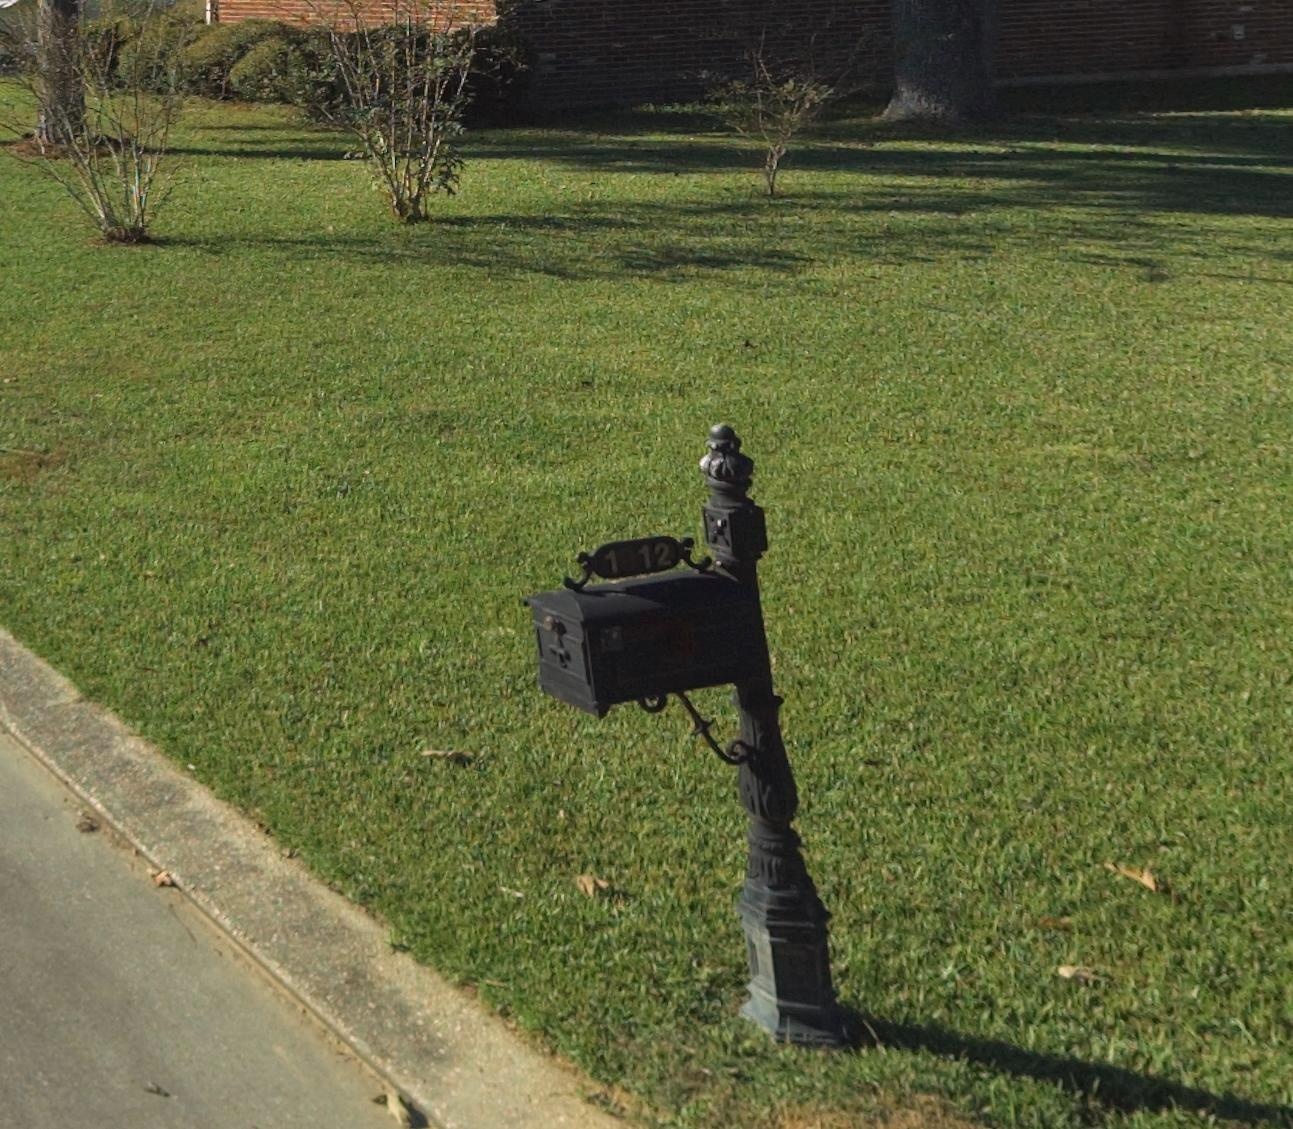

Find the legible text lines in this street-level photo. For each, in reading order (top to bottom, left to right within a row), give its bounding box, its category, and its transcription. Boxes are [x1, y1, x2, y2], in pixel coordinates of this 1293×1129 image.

[601, 536, 675, 579] StreetNumber: 1*12